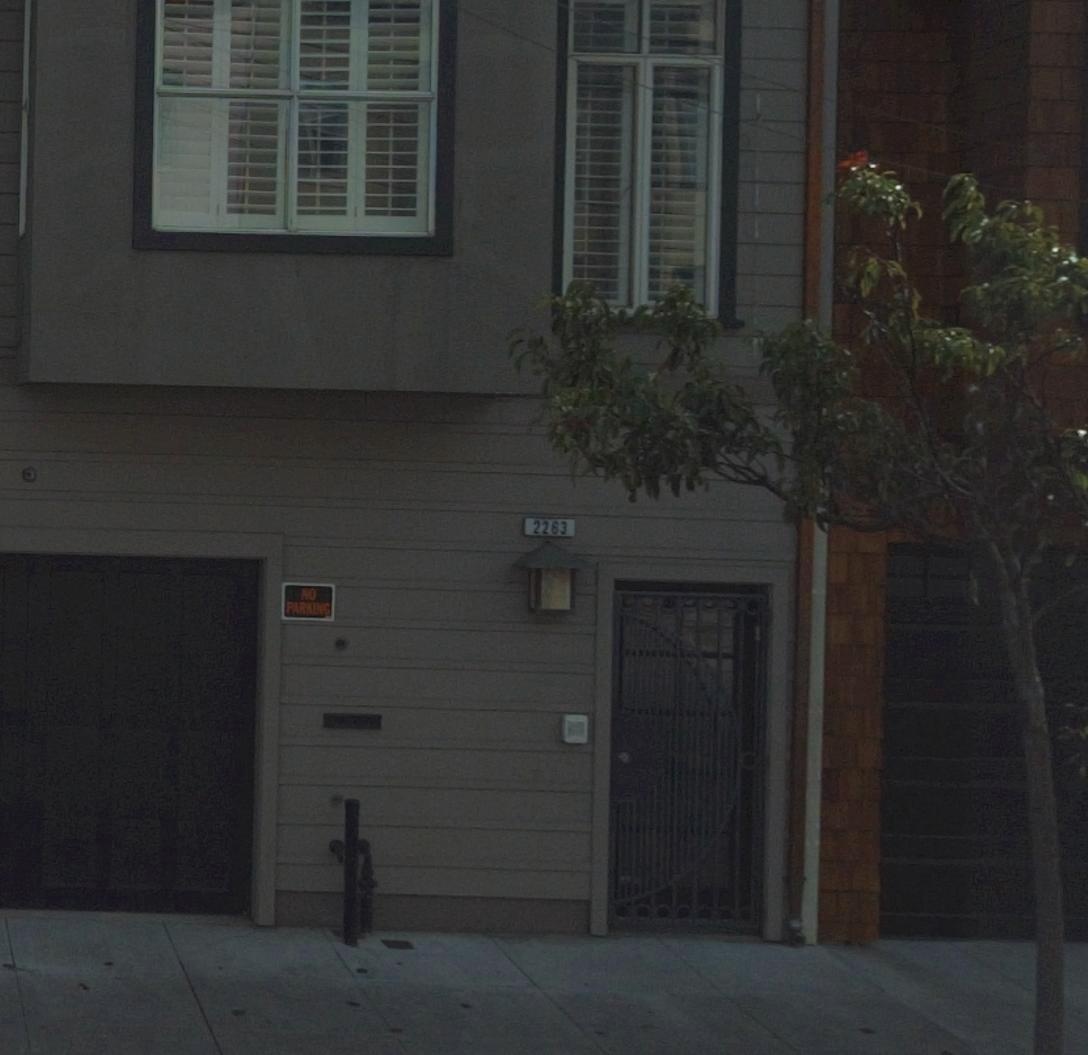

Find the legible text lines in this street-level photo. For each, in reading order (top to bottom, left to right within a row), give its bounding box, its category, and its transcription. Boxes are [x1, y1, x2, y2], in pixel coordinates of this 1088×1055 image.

[530, 517, 569, 537] StreetNumber: 2263
[298, 585, 318, 602] None: NO
[284, 599, 332, 618] None: PARKING